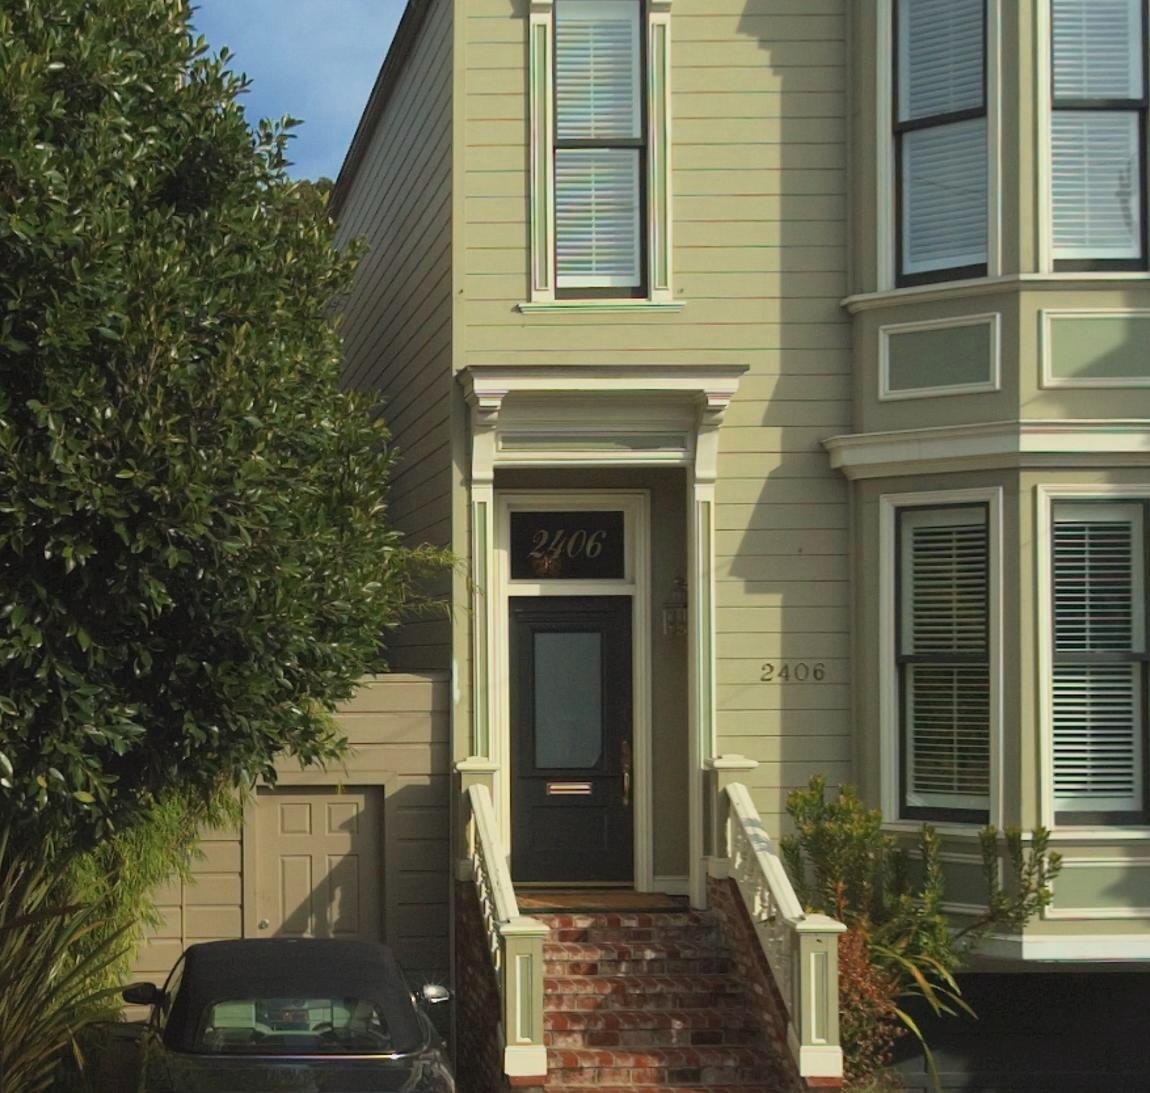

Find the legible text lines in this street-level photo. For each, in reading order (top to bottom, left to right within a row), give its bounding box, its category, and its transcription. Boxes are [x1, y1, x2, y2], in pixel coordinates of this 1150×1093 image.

[524, 527, 609, 561] StreetNumber: 2406
[758, 660, 828, 684] StreetNumber: 2406